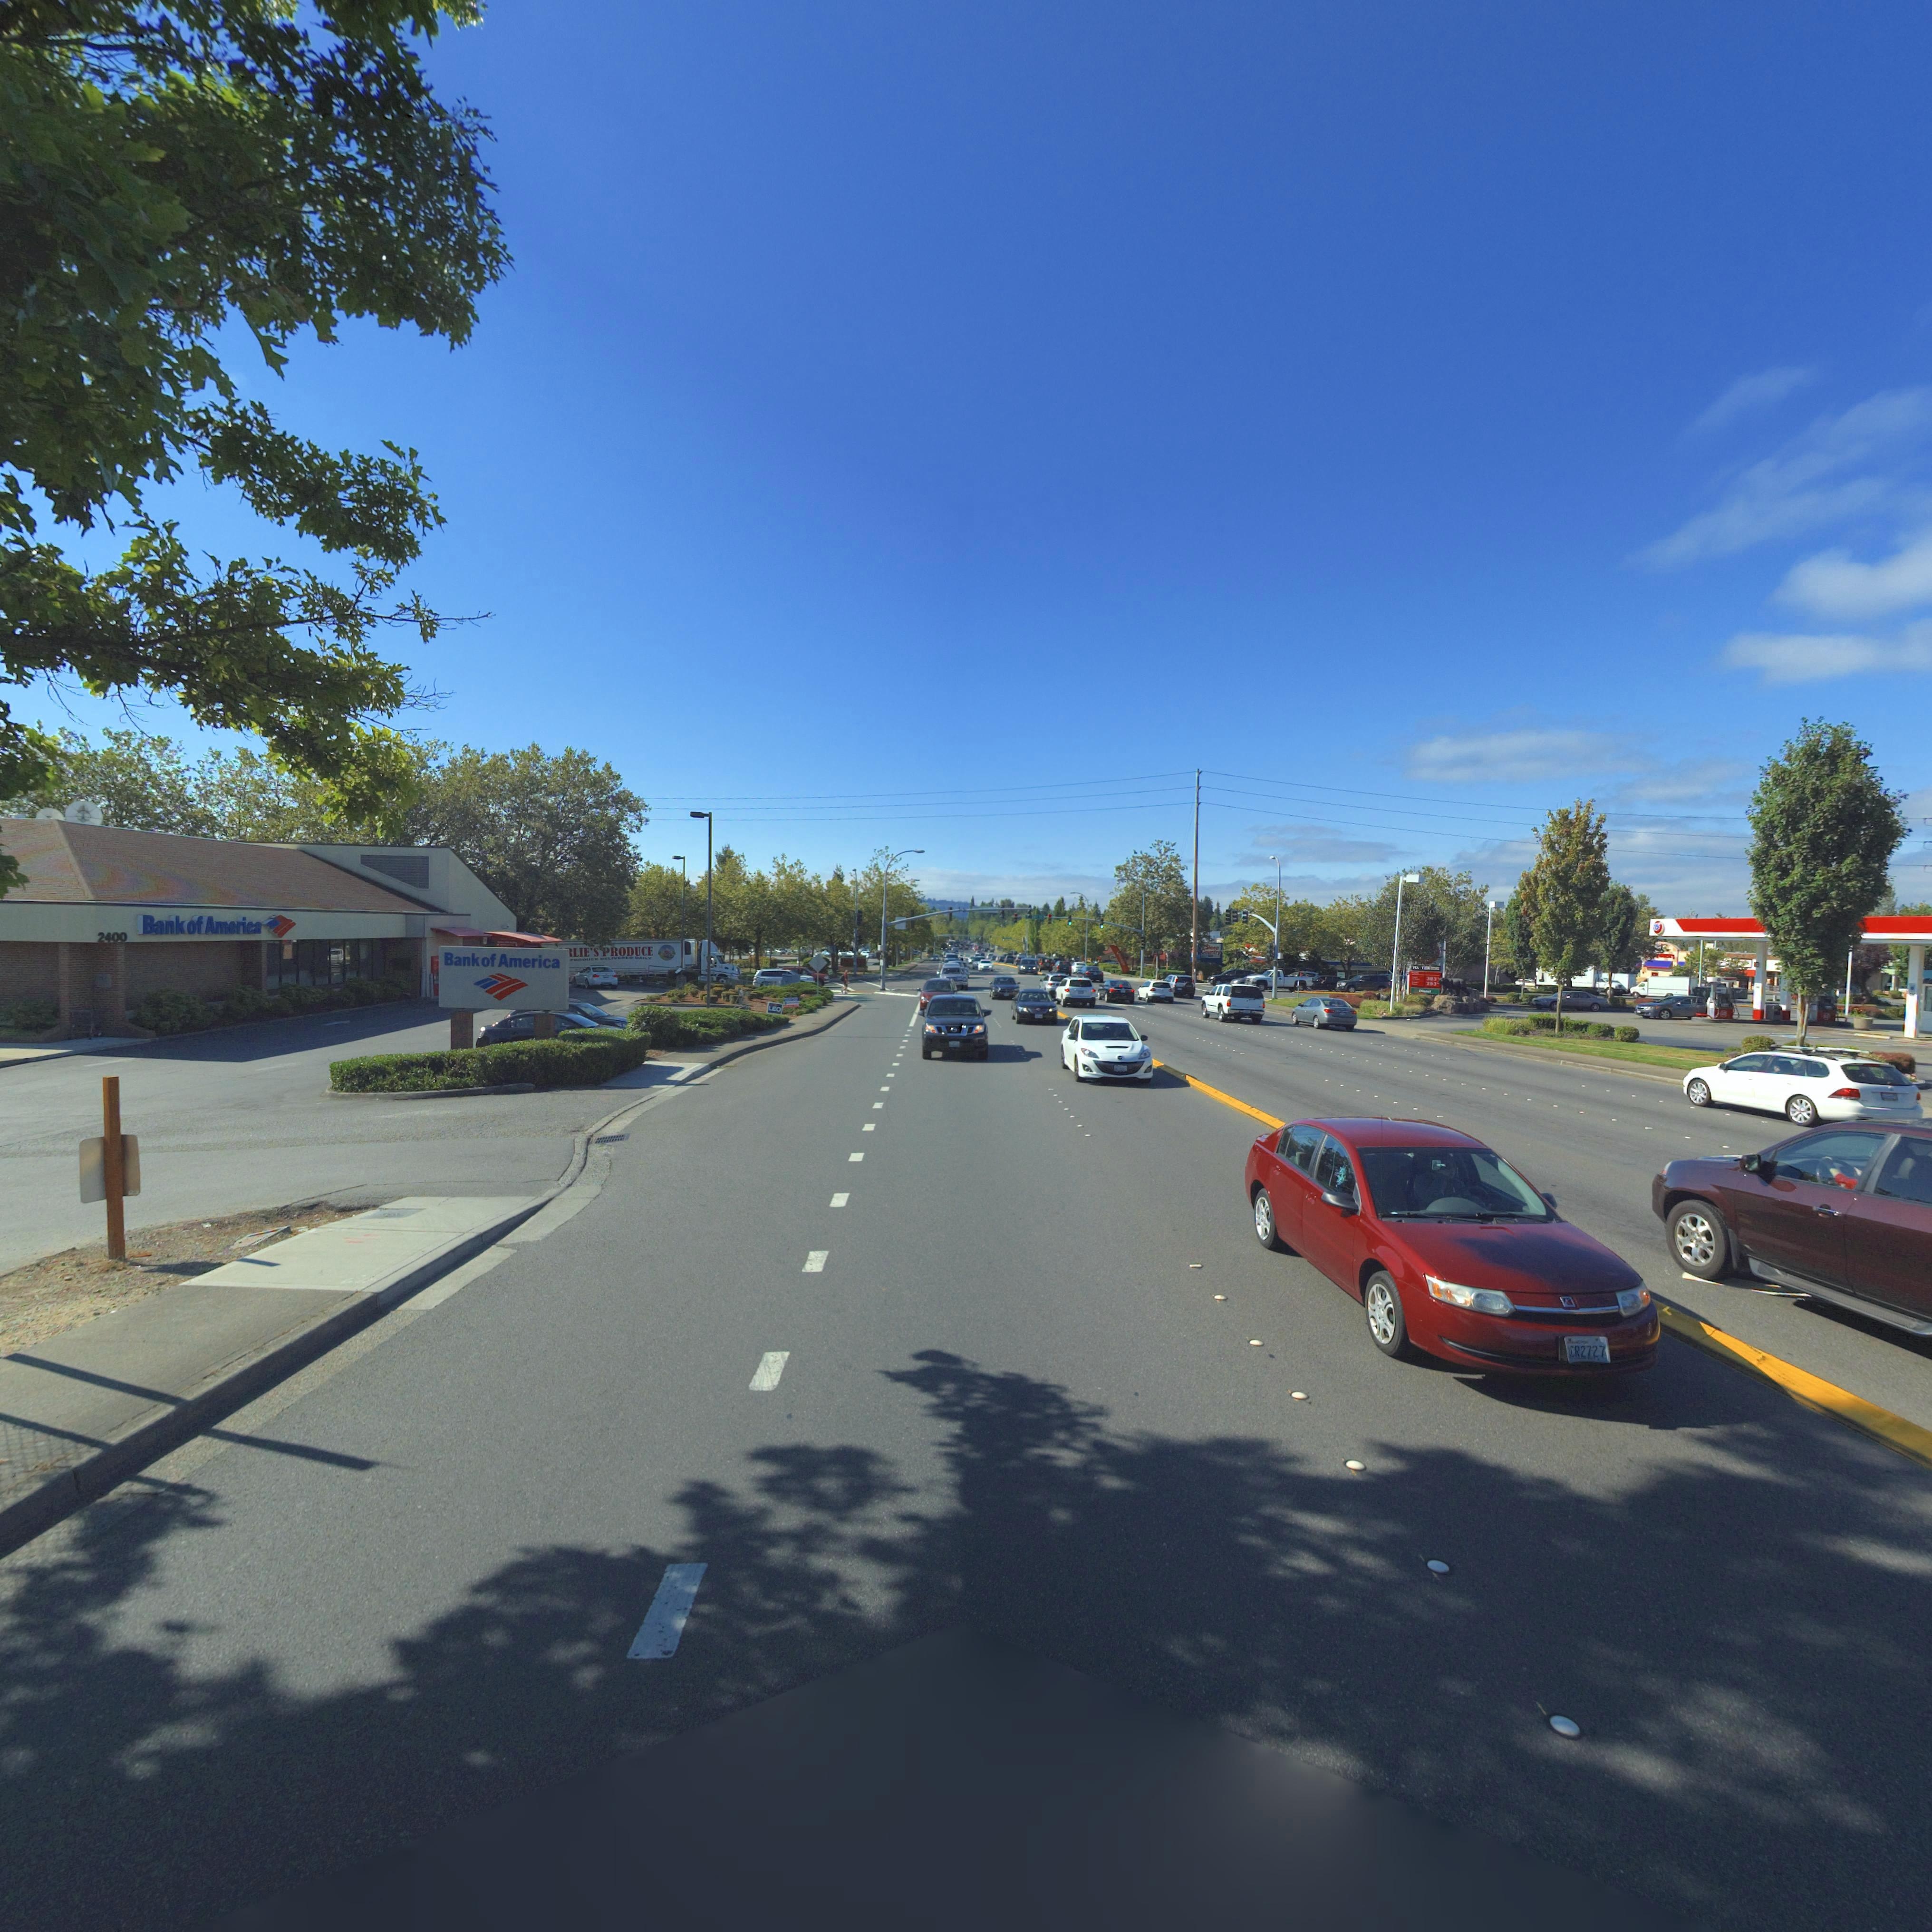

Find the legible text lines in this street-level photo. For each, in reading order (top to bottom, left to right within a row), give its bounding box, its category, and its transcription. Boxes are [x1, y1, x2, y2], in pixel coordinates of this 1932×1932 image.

[141, 914, 263, 935] BusinessName: Bank of America
[97, 931, 128, 942] StreetNumber: 2400
[443, 950, 561, 970] BusinessName: Bank of America